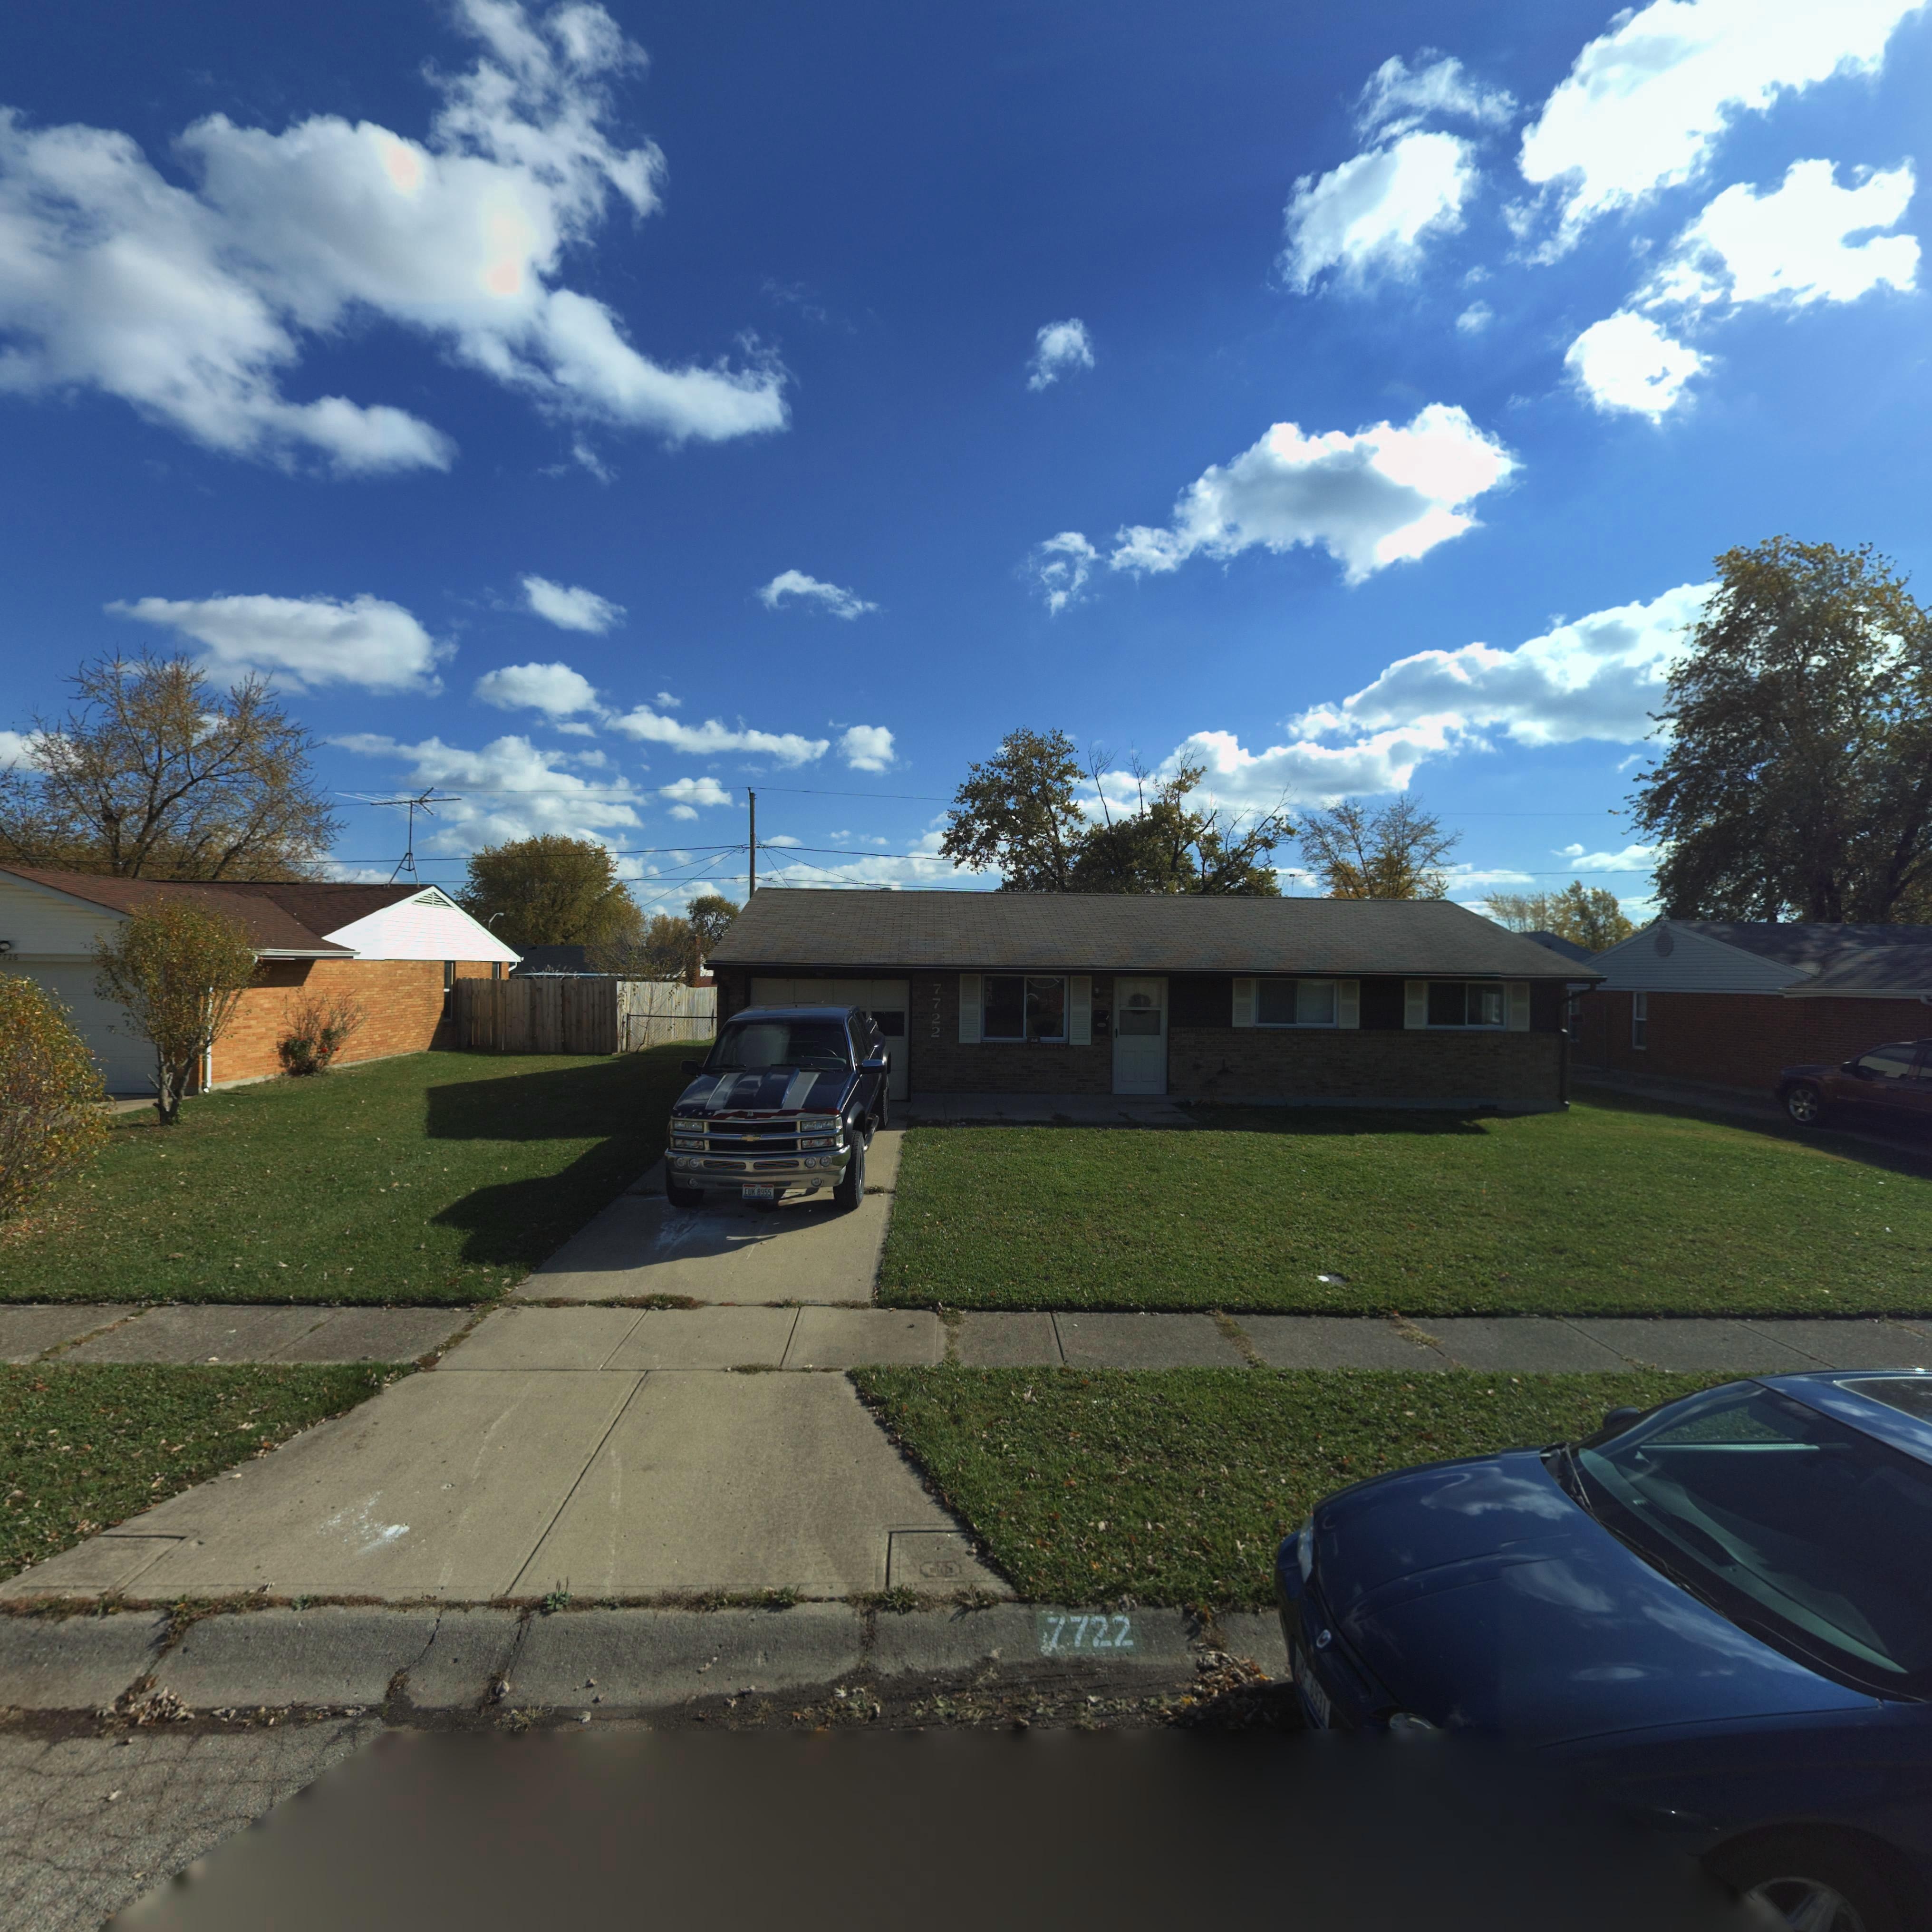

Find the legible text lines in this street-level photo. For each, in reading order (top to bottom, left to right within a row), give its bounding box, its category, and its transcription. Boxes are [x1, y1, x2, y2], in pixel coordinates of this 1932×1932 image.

[929, 982, 943, 1040] StreetNumber: 7722
[1045, 1613, 1136, 1650] StreetNumber: 7722